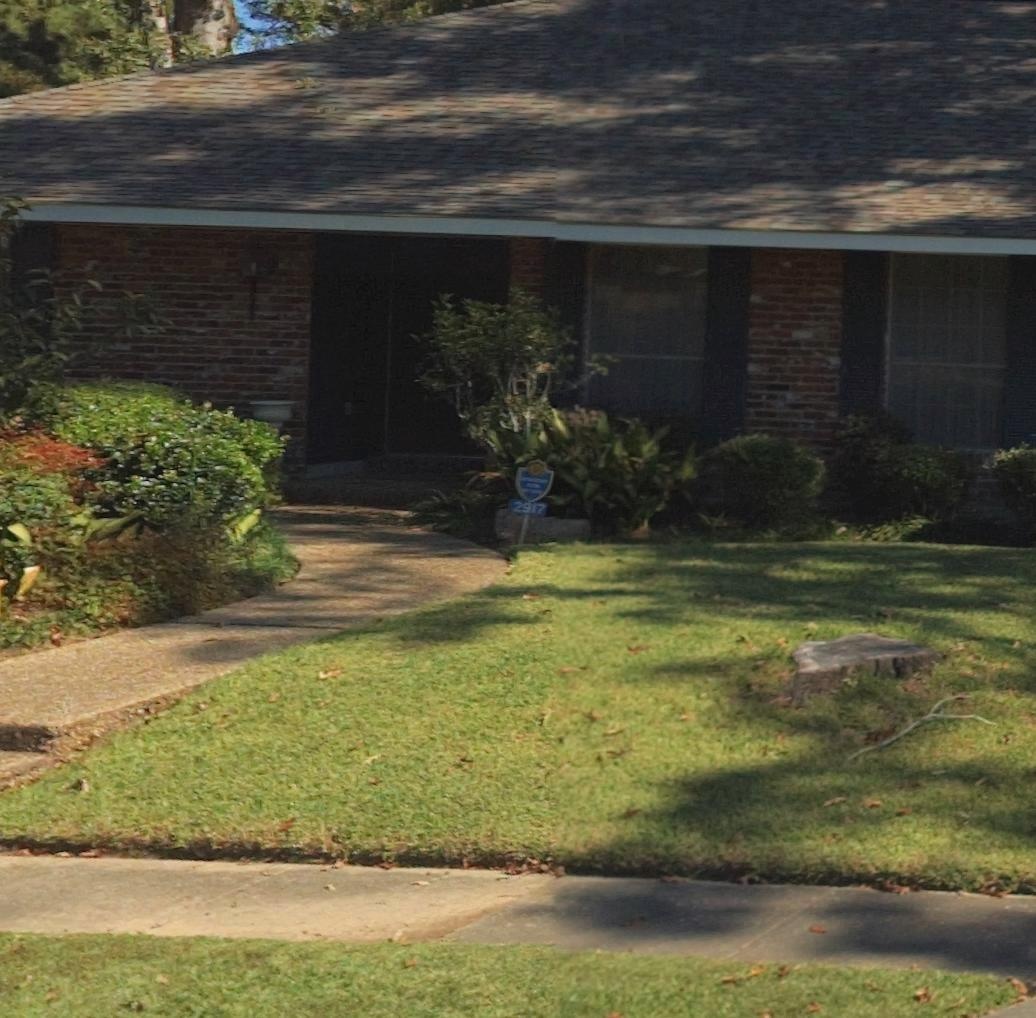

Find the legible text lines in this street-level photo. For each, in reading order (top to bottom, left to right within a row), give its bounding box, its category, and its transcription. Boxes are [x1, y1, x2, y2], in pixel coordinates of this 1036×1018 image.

[511, 499, 551, 516] StreetNumber: 2917